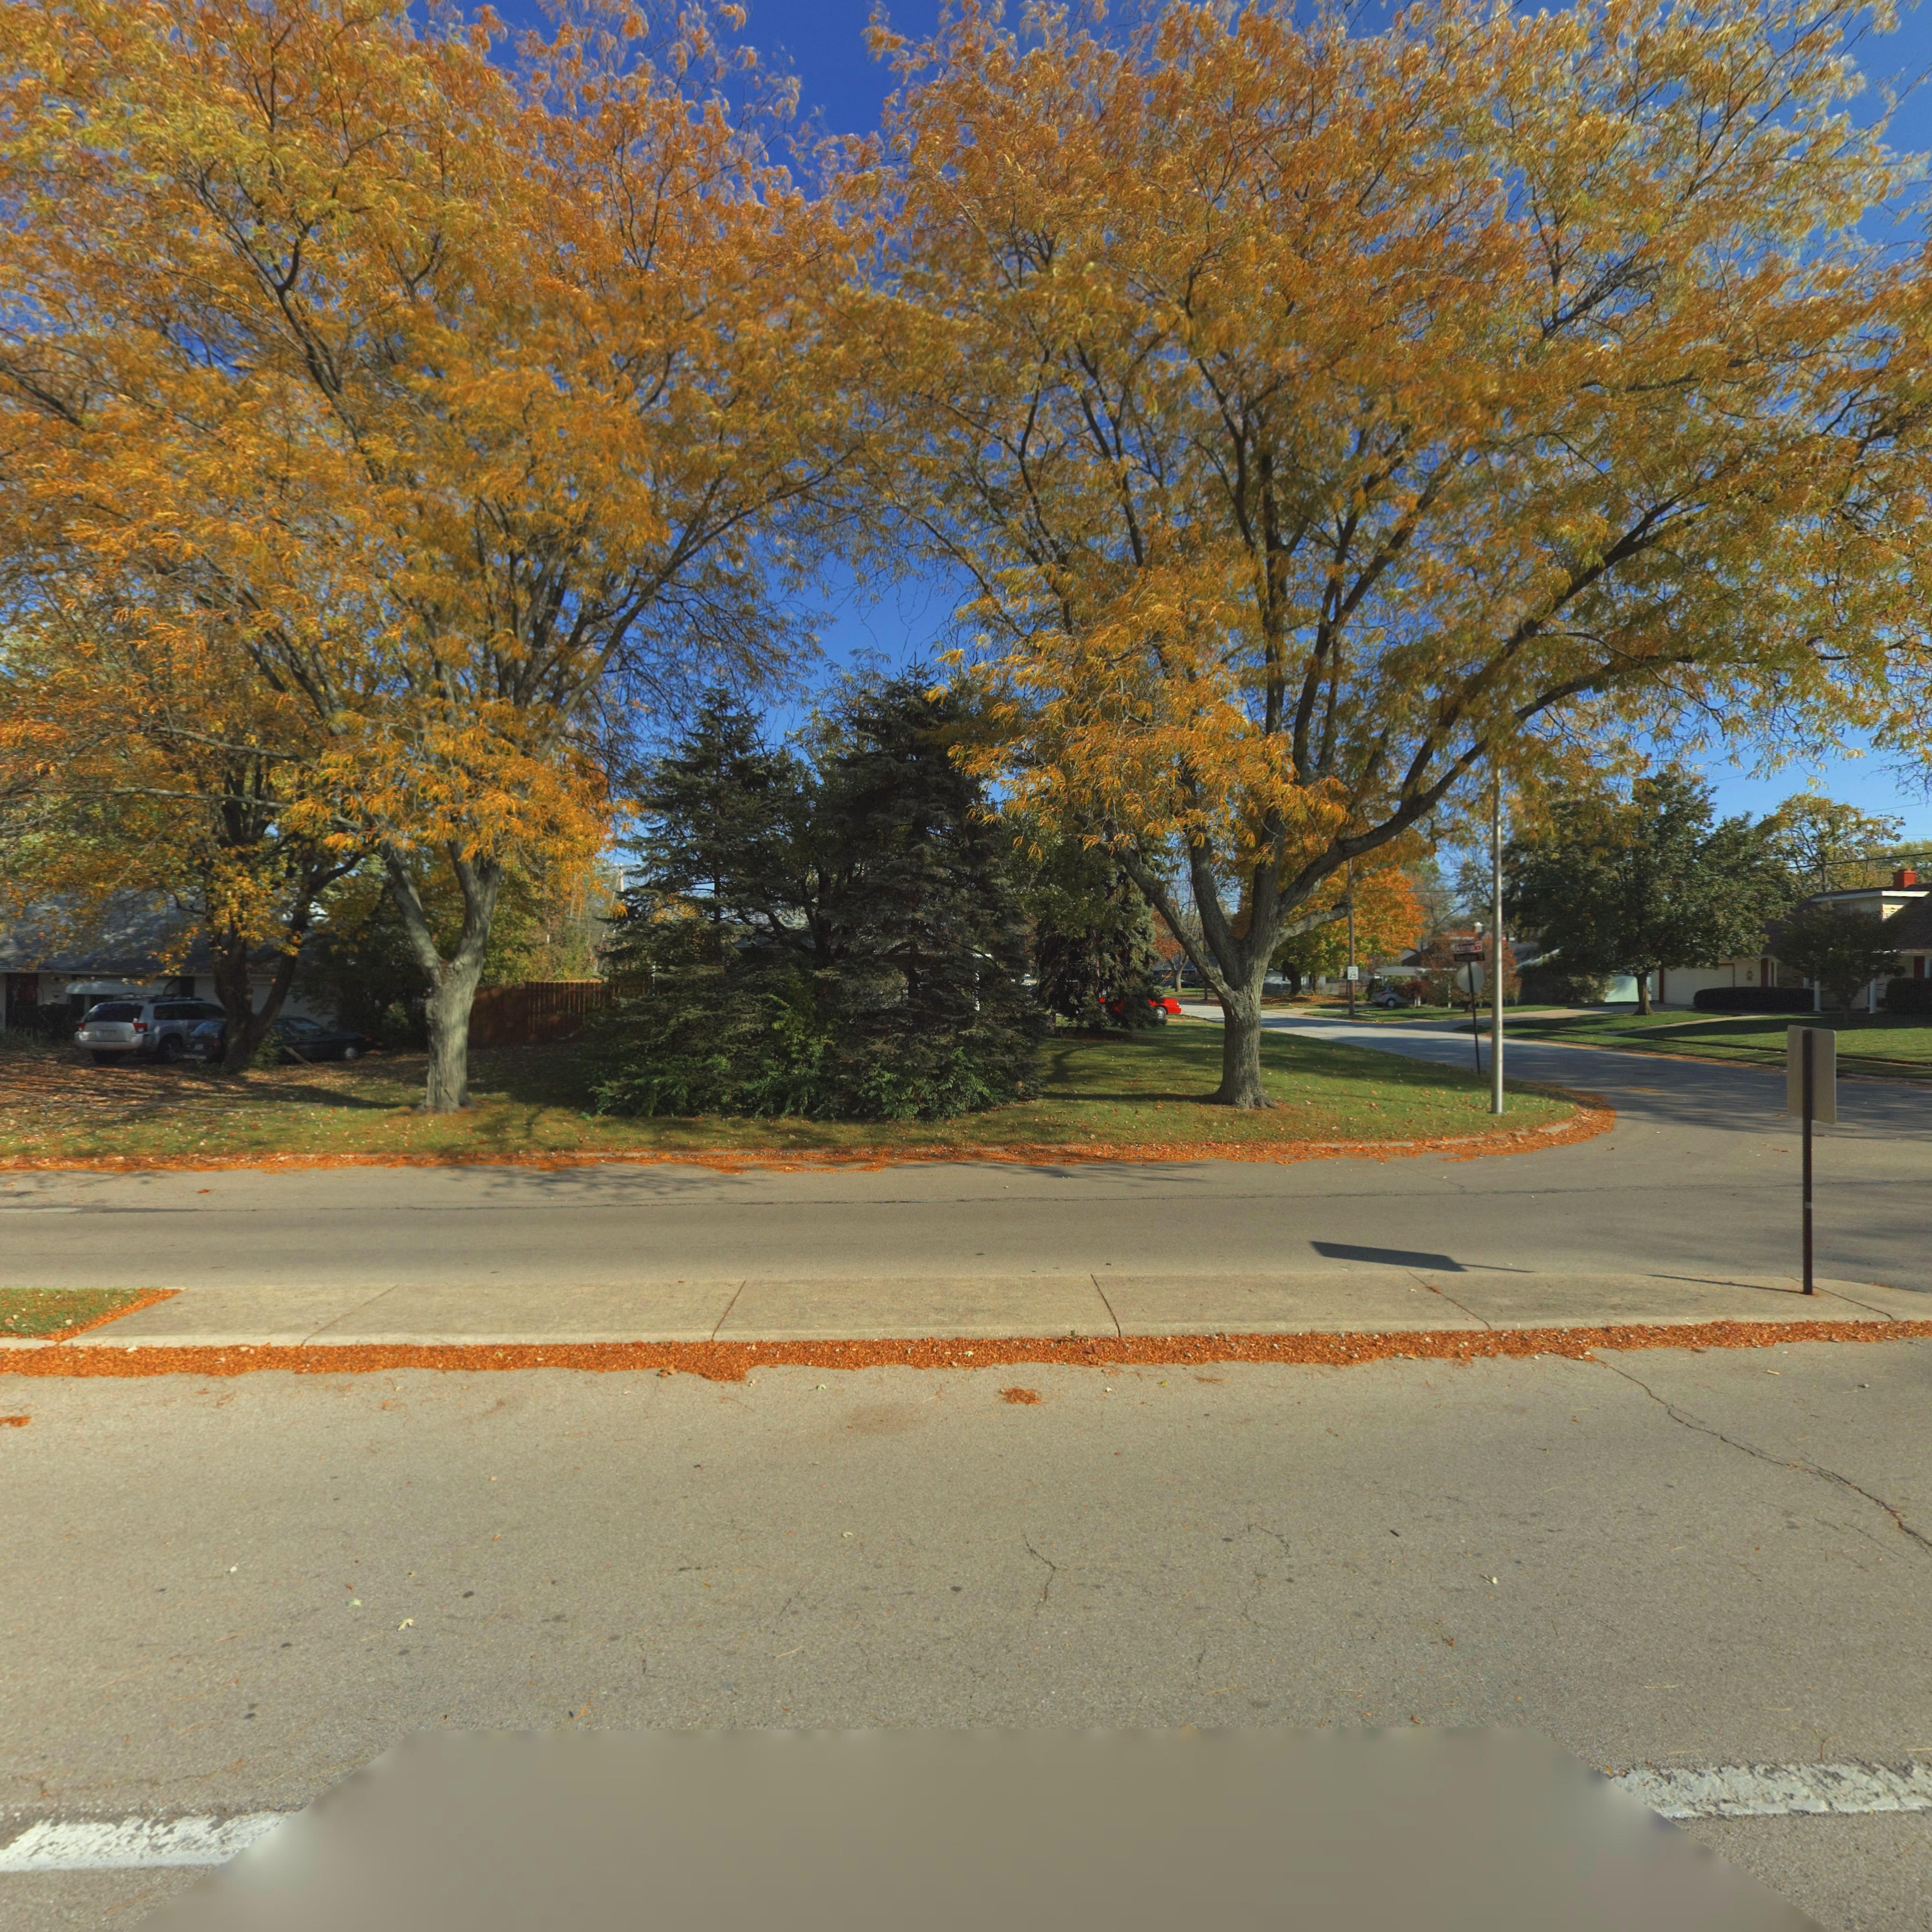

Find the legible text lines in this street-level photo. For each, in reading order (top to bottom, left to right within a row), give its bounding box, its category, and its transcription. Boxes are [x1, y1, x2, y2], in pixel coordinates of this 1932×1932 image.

[1455, 944, 1476, 952] StreetName: Ackerman
[1455, 954, 1478, 961] StreetName: Gardner
[1349, 973, 1357, 978] None: 25